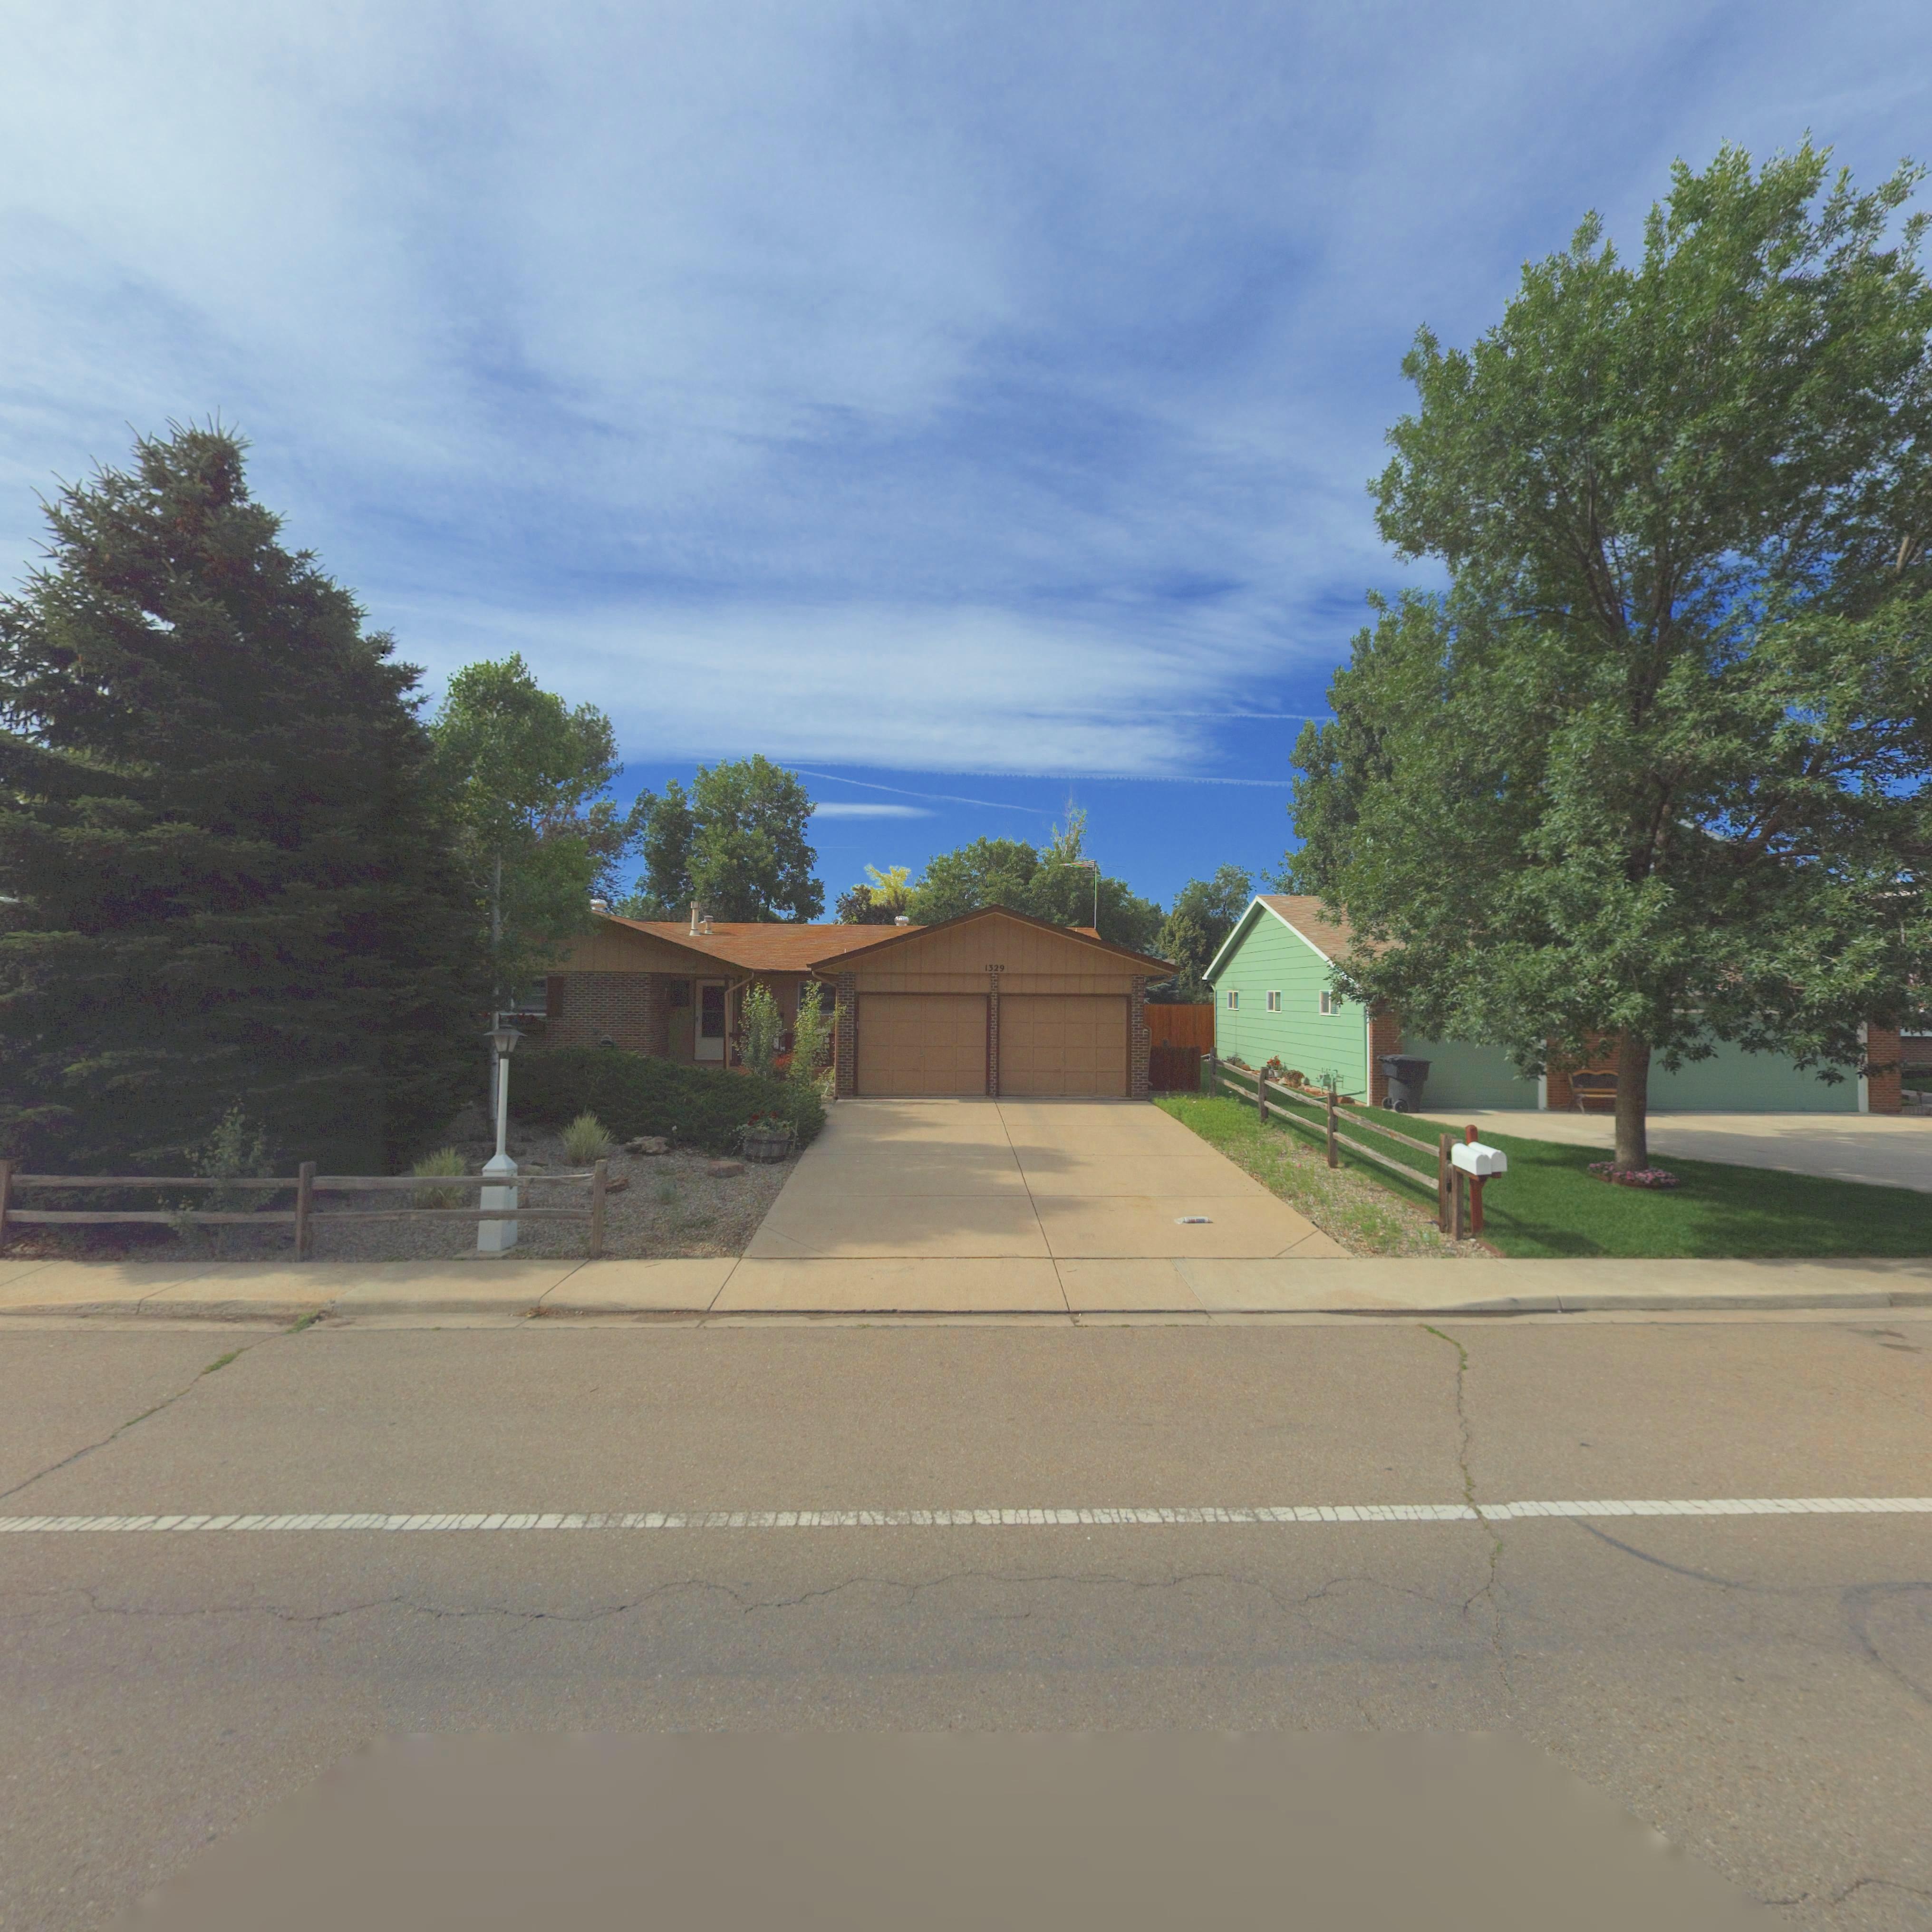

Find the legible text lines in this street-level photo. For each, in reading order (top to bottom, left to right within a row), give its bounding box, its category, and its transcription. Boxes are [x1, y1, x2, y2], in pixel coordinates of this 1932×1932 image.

[985, 964, 1005, 971] StreetNumber: 1329